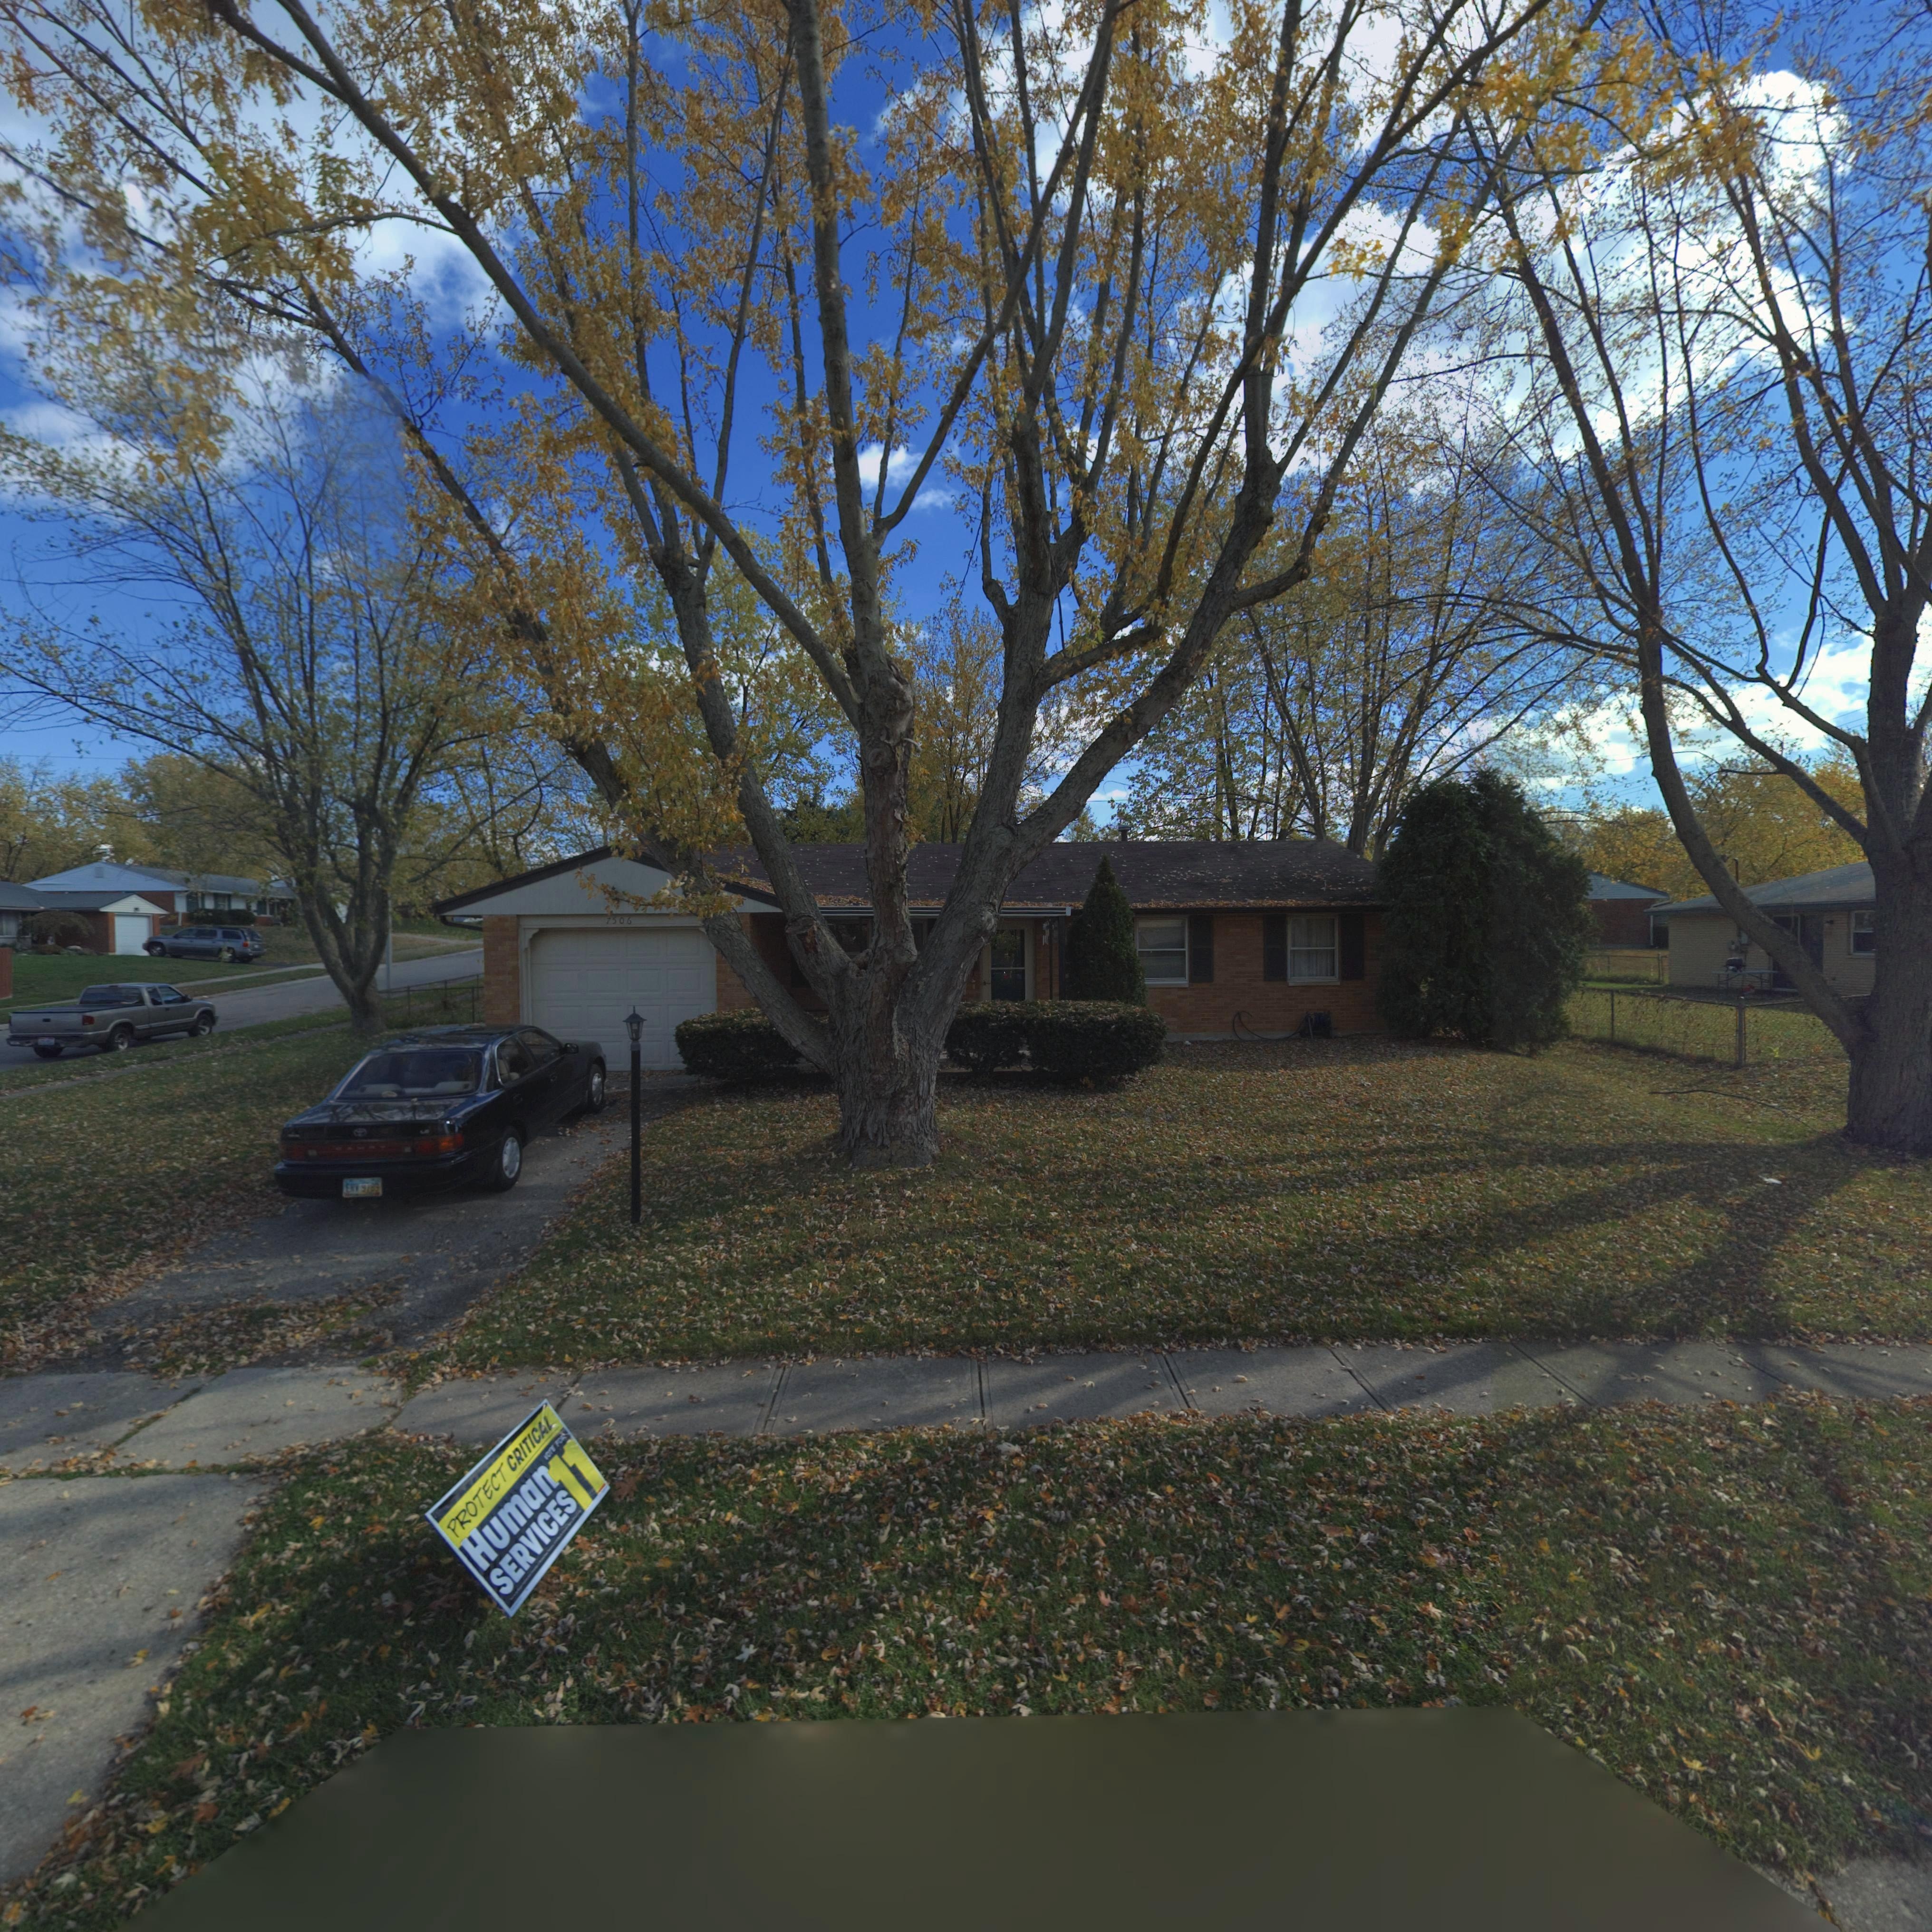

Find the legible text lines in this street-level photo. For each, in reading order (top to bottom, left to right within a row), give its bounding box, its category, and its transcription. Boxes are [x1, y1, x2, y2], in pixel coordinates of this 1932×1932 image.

[606, 917, 632, 925] StreetNumber: 7506